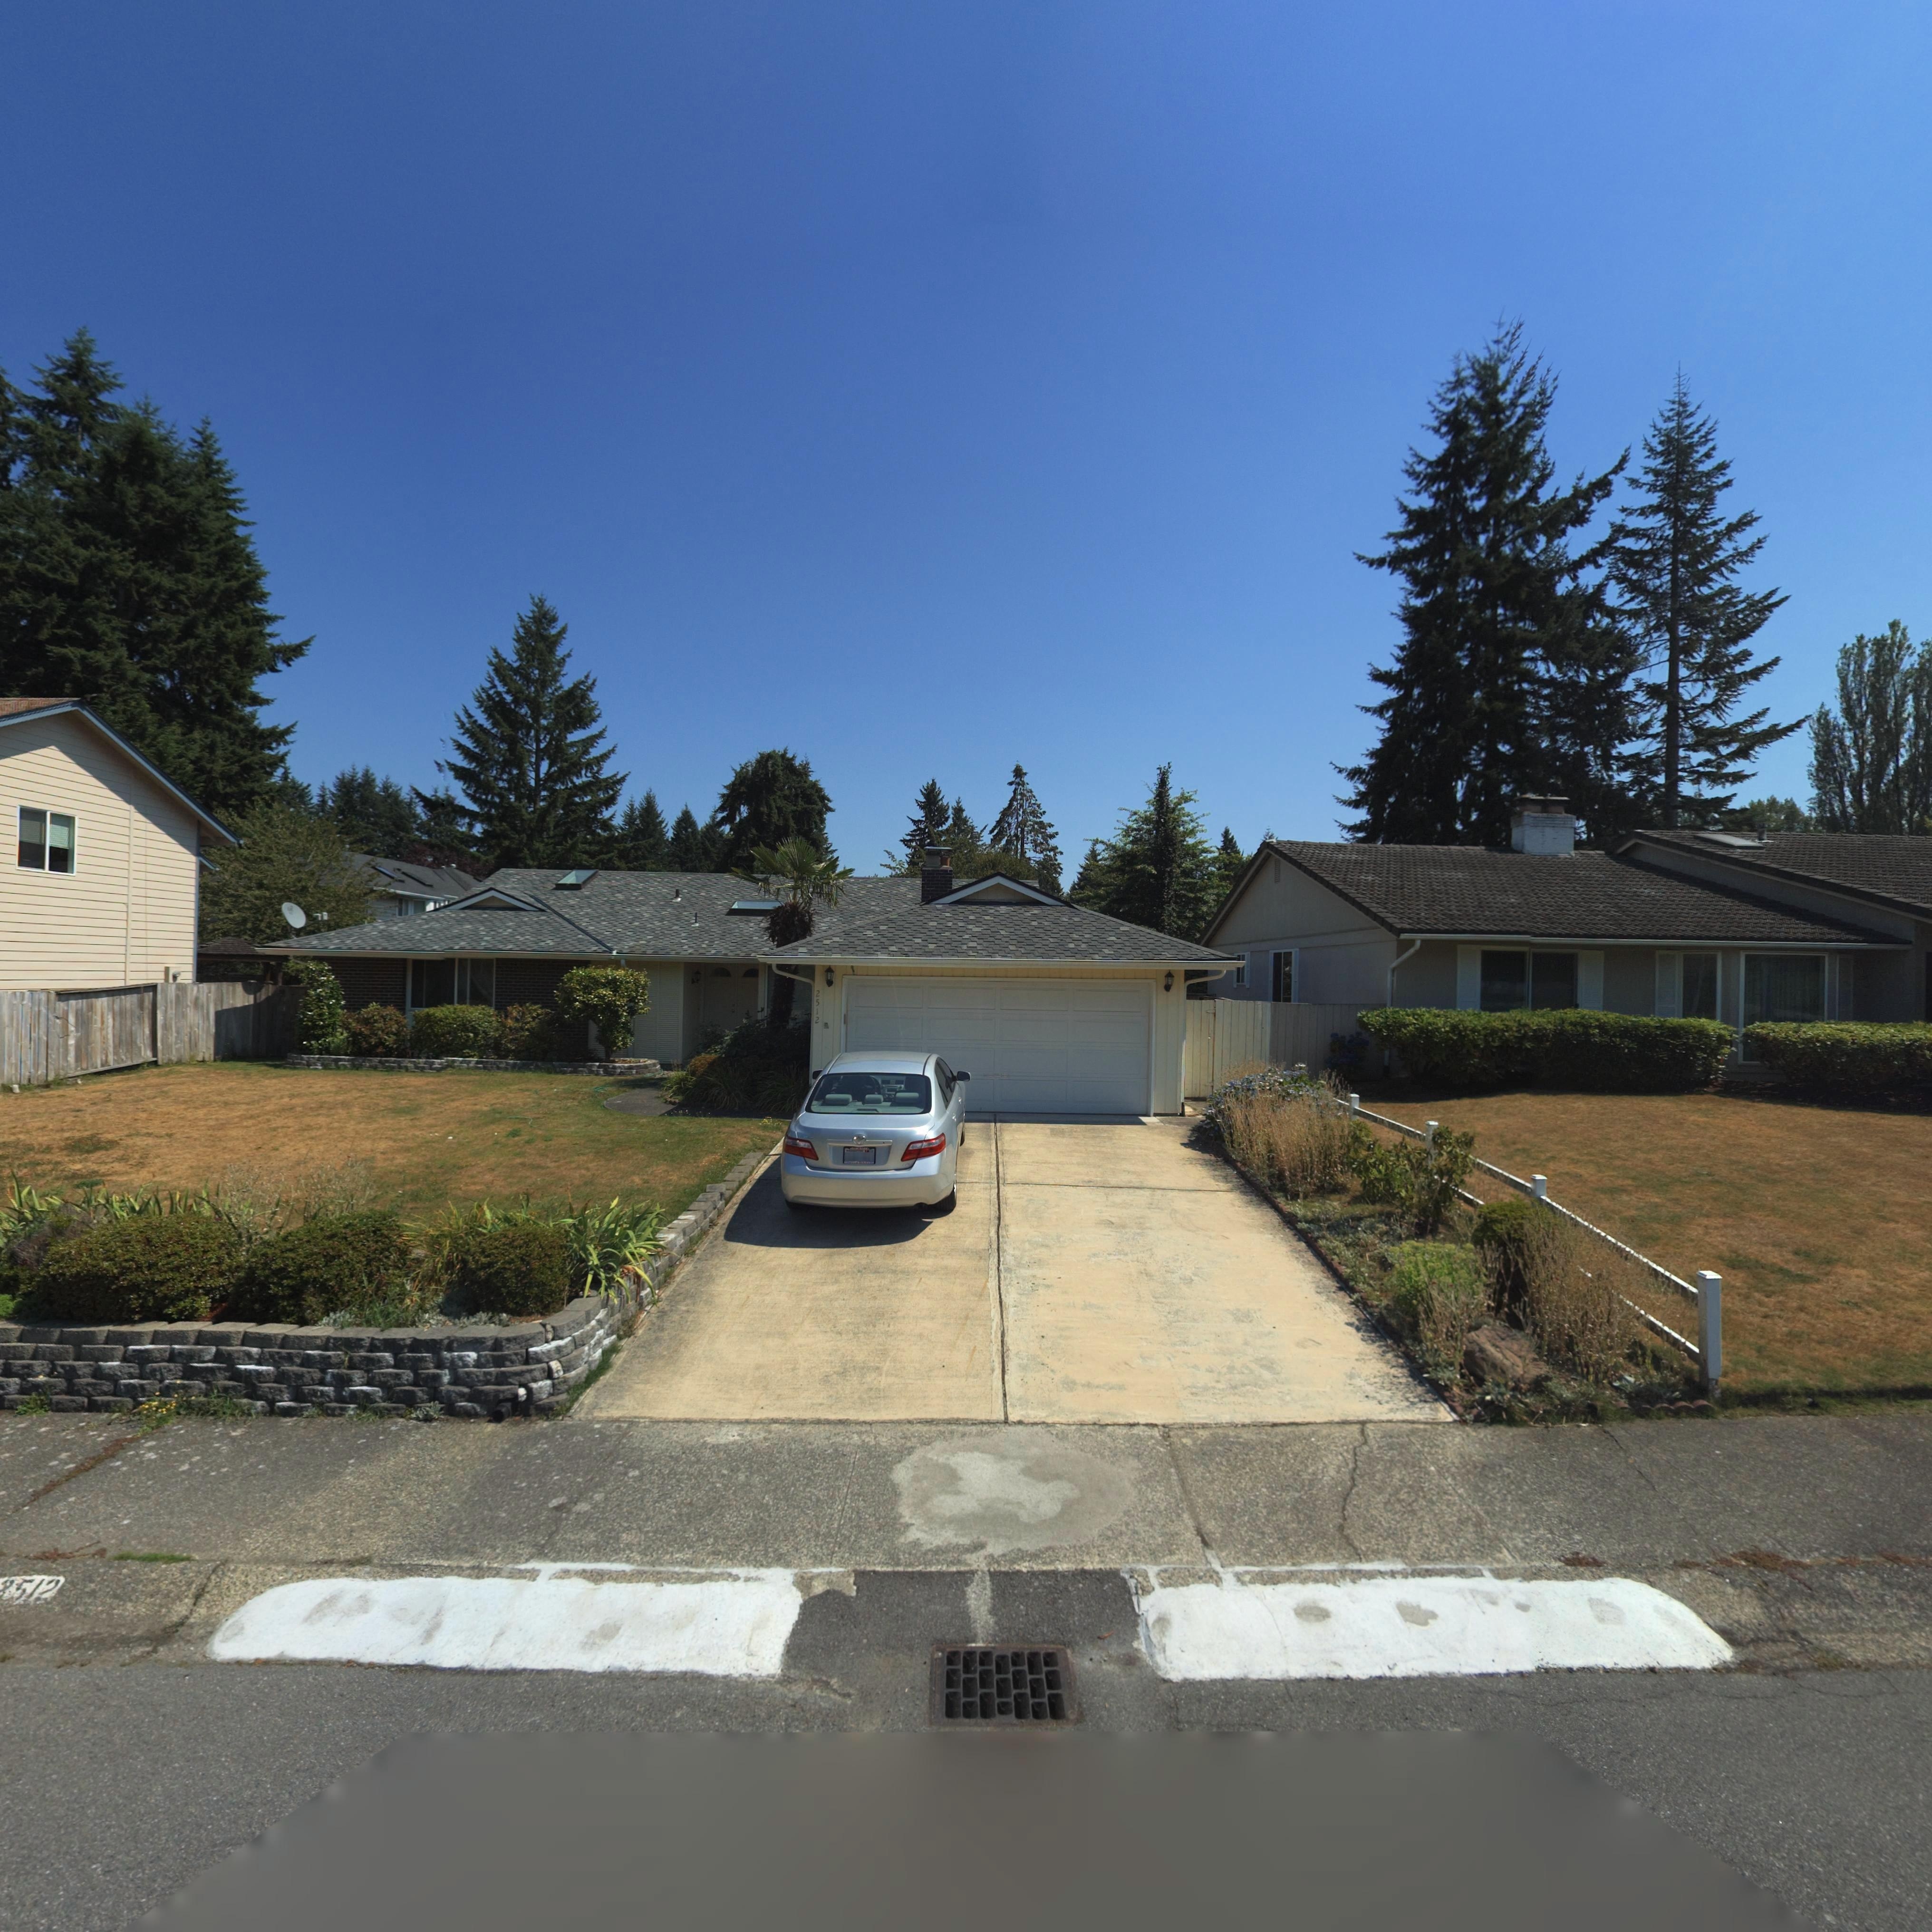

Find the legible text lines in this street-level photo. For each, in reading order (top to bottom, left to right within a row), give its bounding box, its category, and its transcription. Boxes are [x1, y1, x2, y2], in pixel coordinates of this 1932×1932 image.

[814, 989, 820, 1024] StreetNumber: 2512
[12, 1578, 62, 1604] StreetNumber: 512